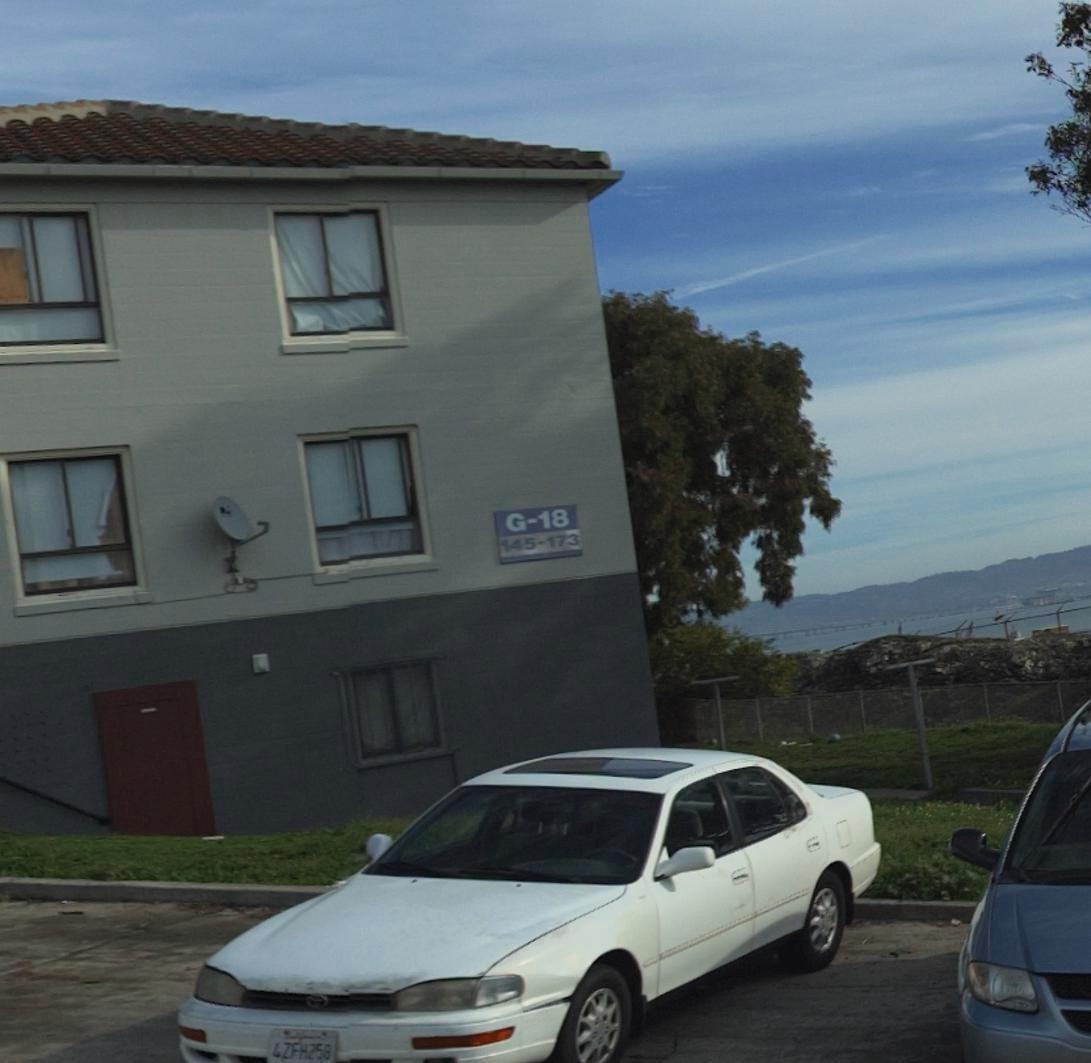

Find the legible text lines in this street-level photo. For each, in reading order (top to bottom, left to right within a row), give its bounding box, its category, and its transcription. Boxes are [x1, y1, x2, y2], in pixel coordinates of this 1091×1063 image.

[504, 506, 572, 535] None: G-18
[498, 535, 537, 555] StreetNumber: 145
[547, 531, 580, 551] StreetNumber: 173
[271, 1041, 335, 1061] None: 4ZFH258